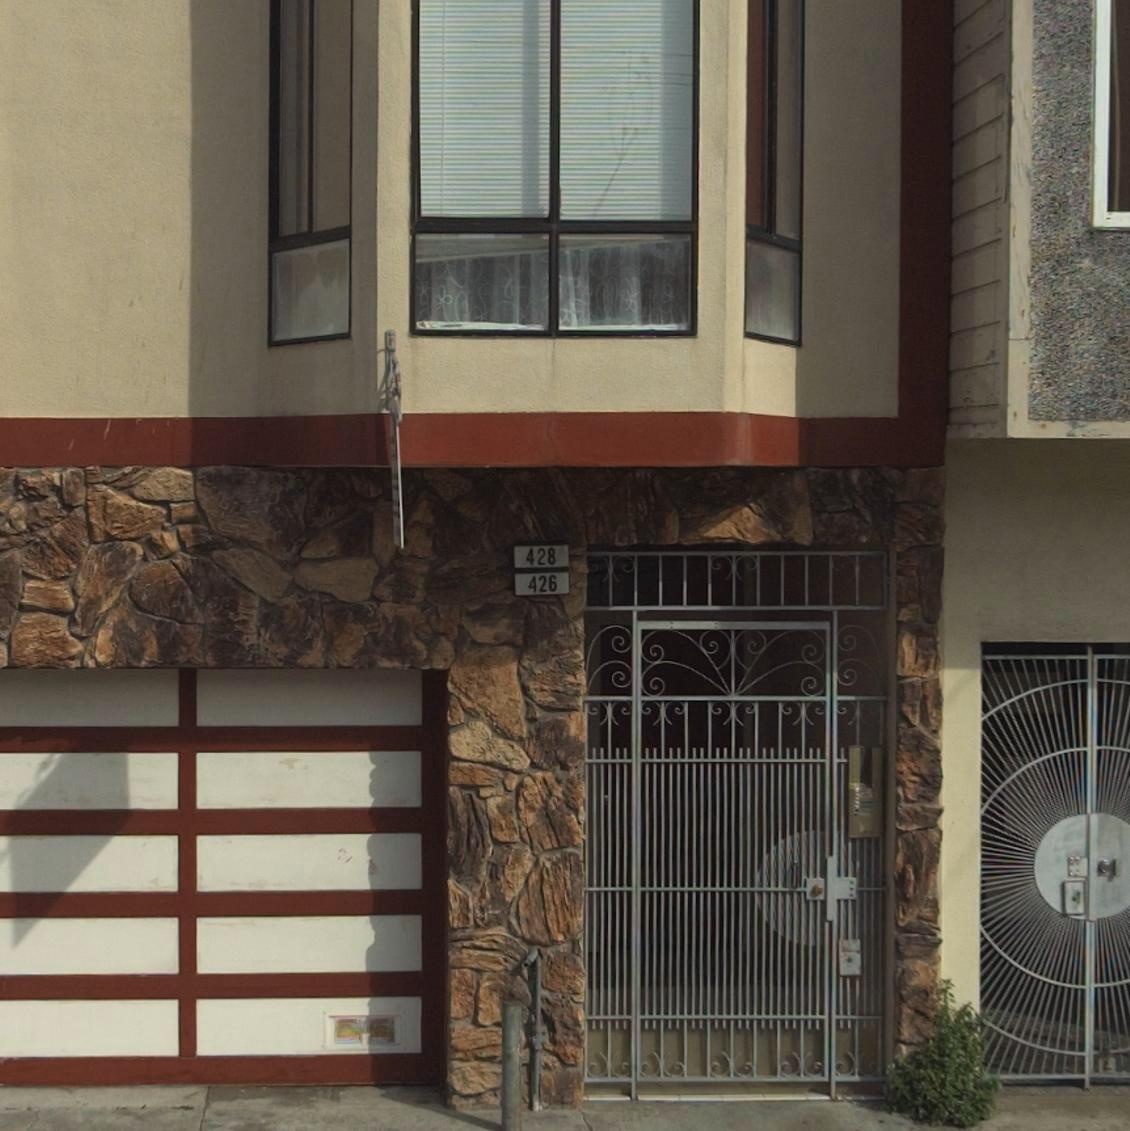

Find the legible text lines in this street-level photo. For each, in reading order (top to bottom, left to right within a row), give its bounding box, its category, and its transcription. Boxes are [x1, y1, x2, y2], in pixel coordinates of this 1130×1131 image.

[524, 546, 558, 567] StreetNumber: 428
[527, 574, 559, 594] StreetNumber: 426